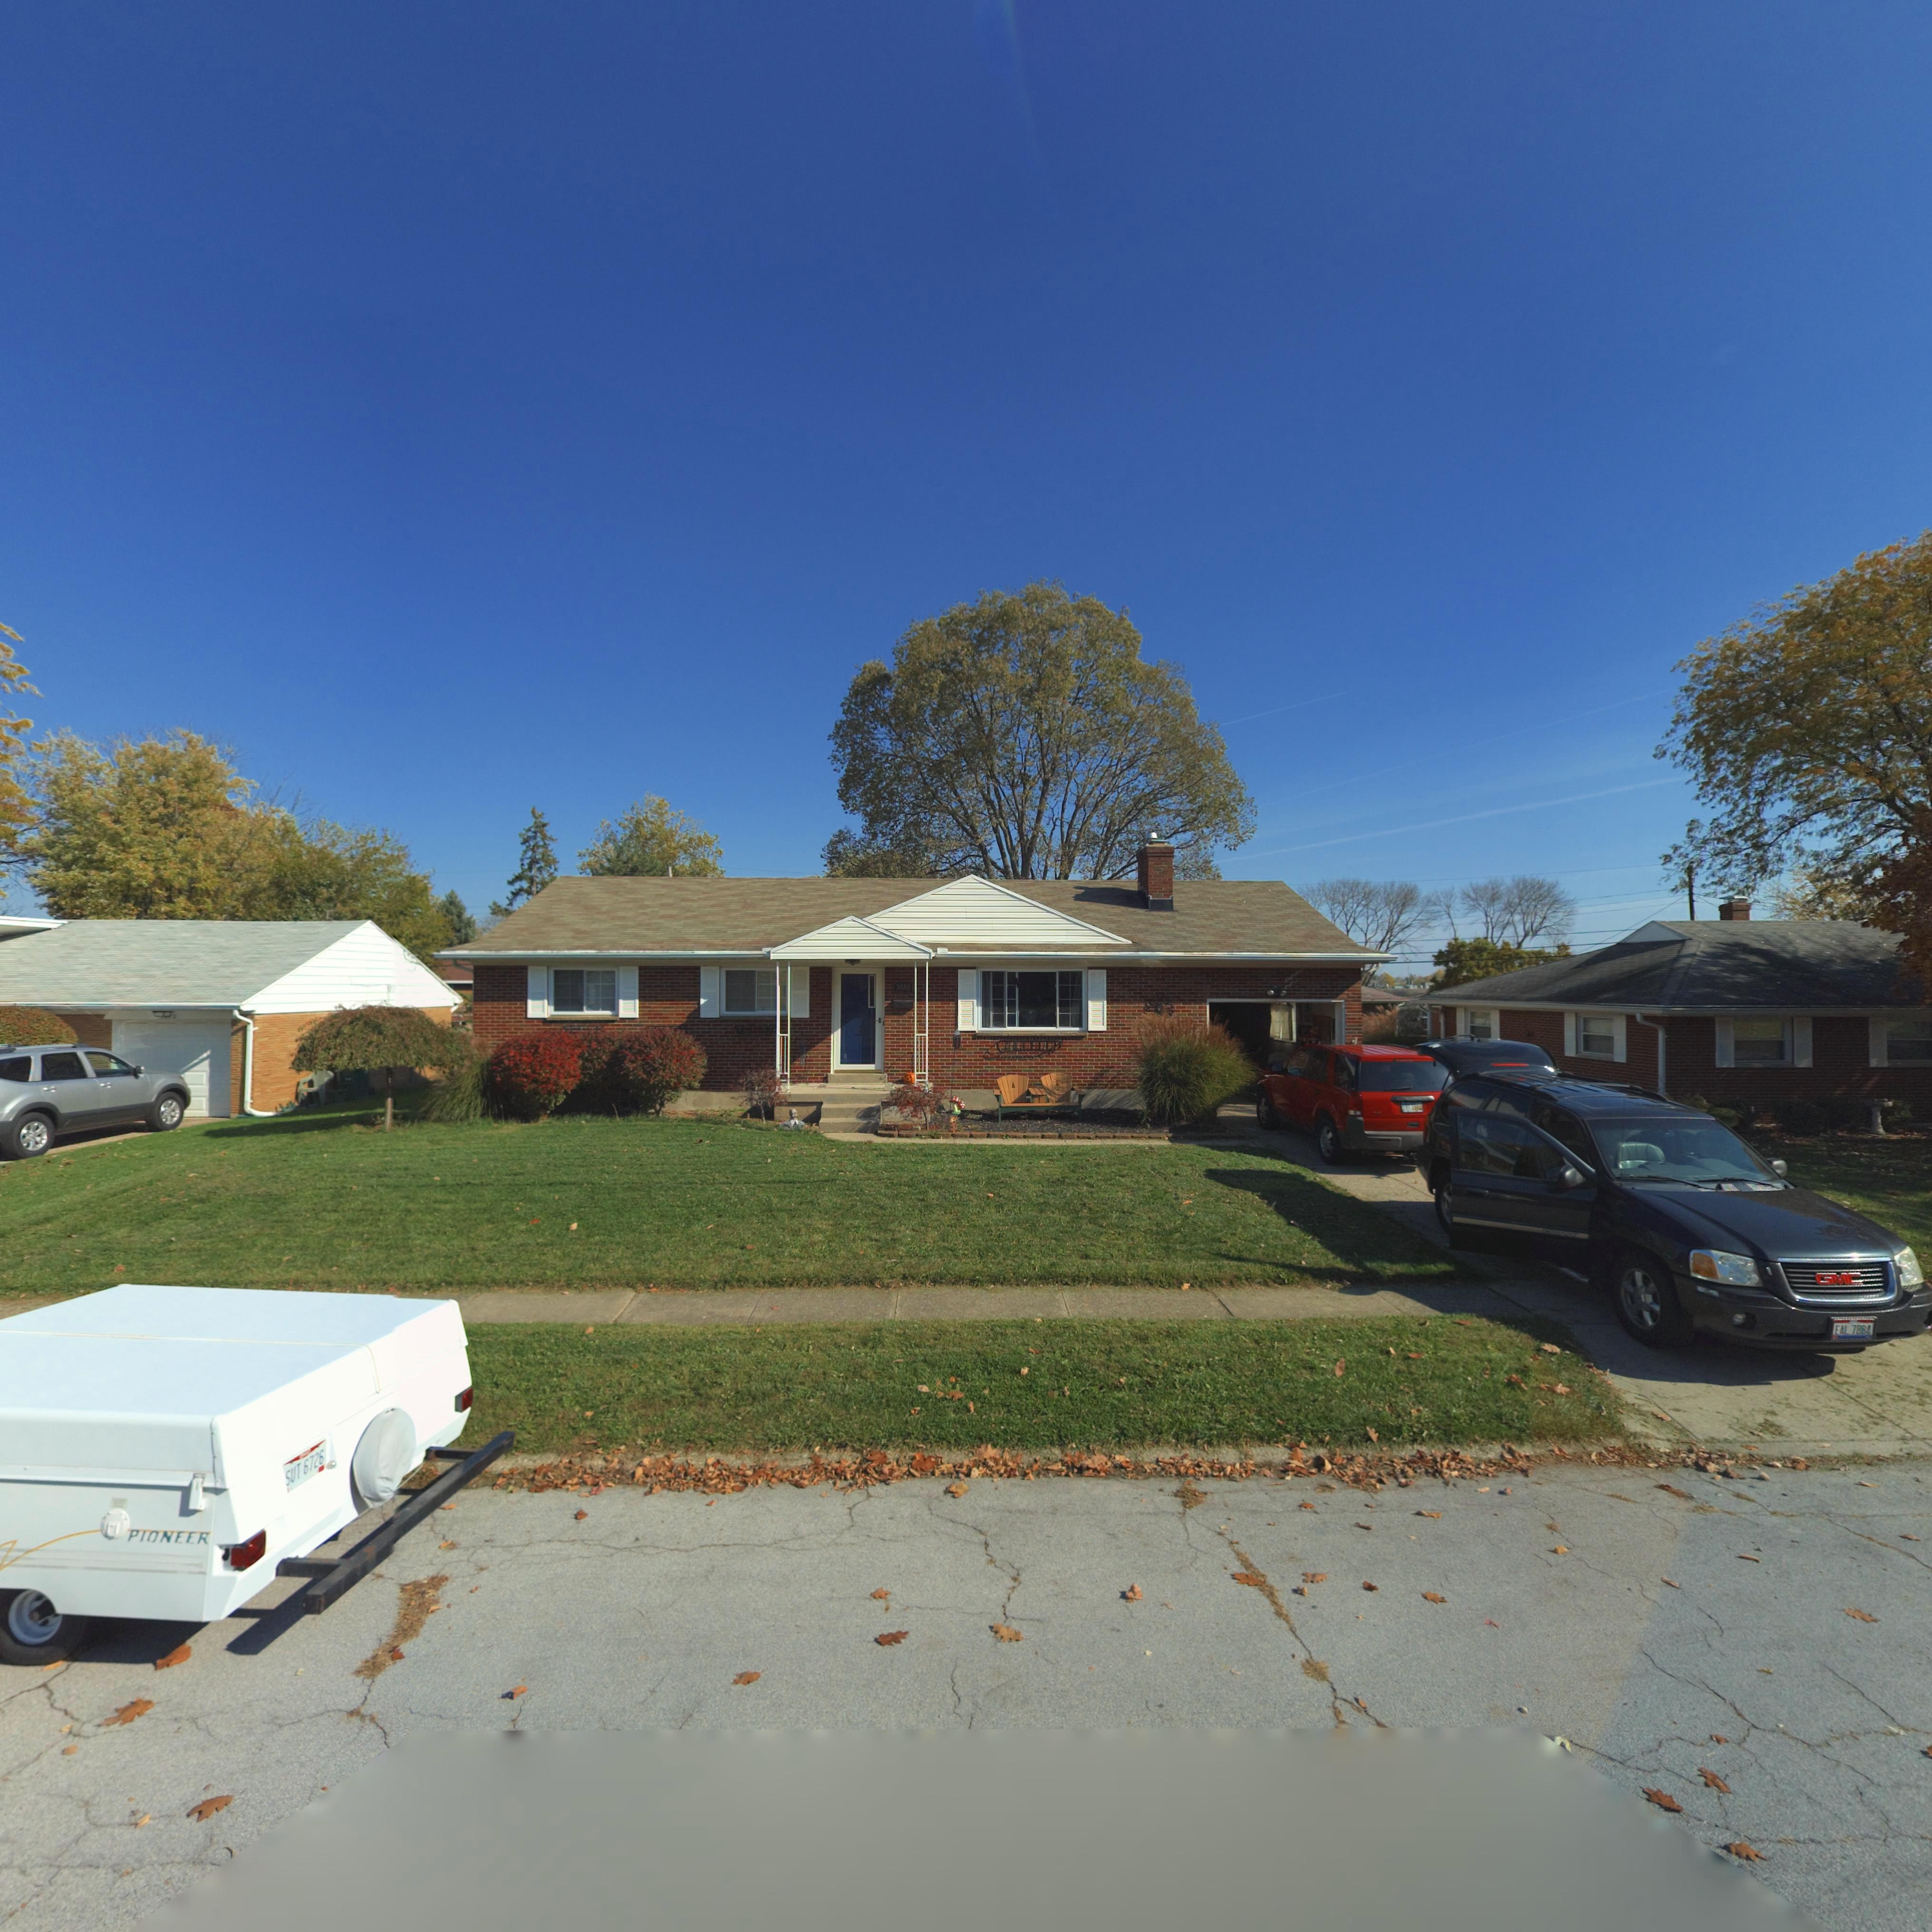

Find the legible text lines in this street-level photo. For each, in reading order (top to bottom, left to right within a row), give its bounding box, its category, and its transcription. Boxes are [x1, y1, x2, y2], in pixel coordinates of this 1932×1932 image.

[895, 983, 910, 989] StreetNumber: 3886
[1814, 1272, 1864, 1285] None: GMC
[1834, 1324, 1871, 1335] None: EAL 7884
[285, 1448, 324, 1488] None: SUT 6726
[126, 1529, 210, 1545] None: PIONEER